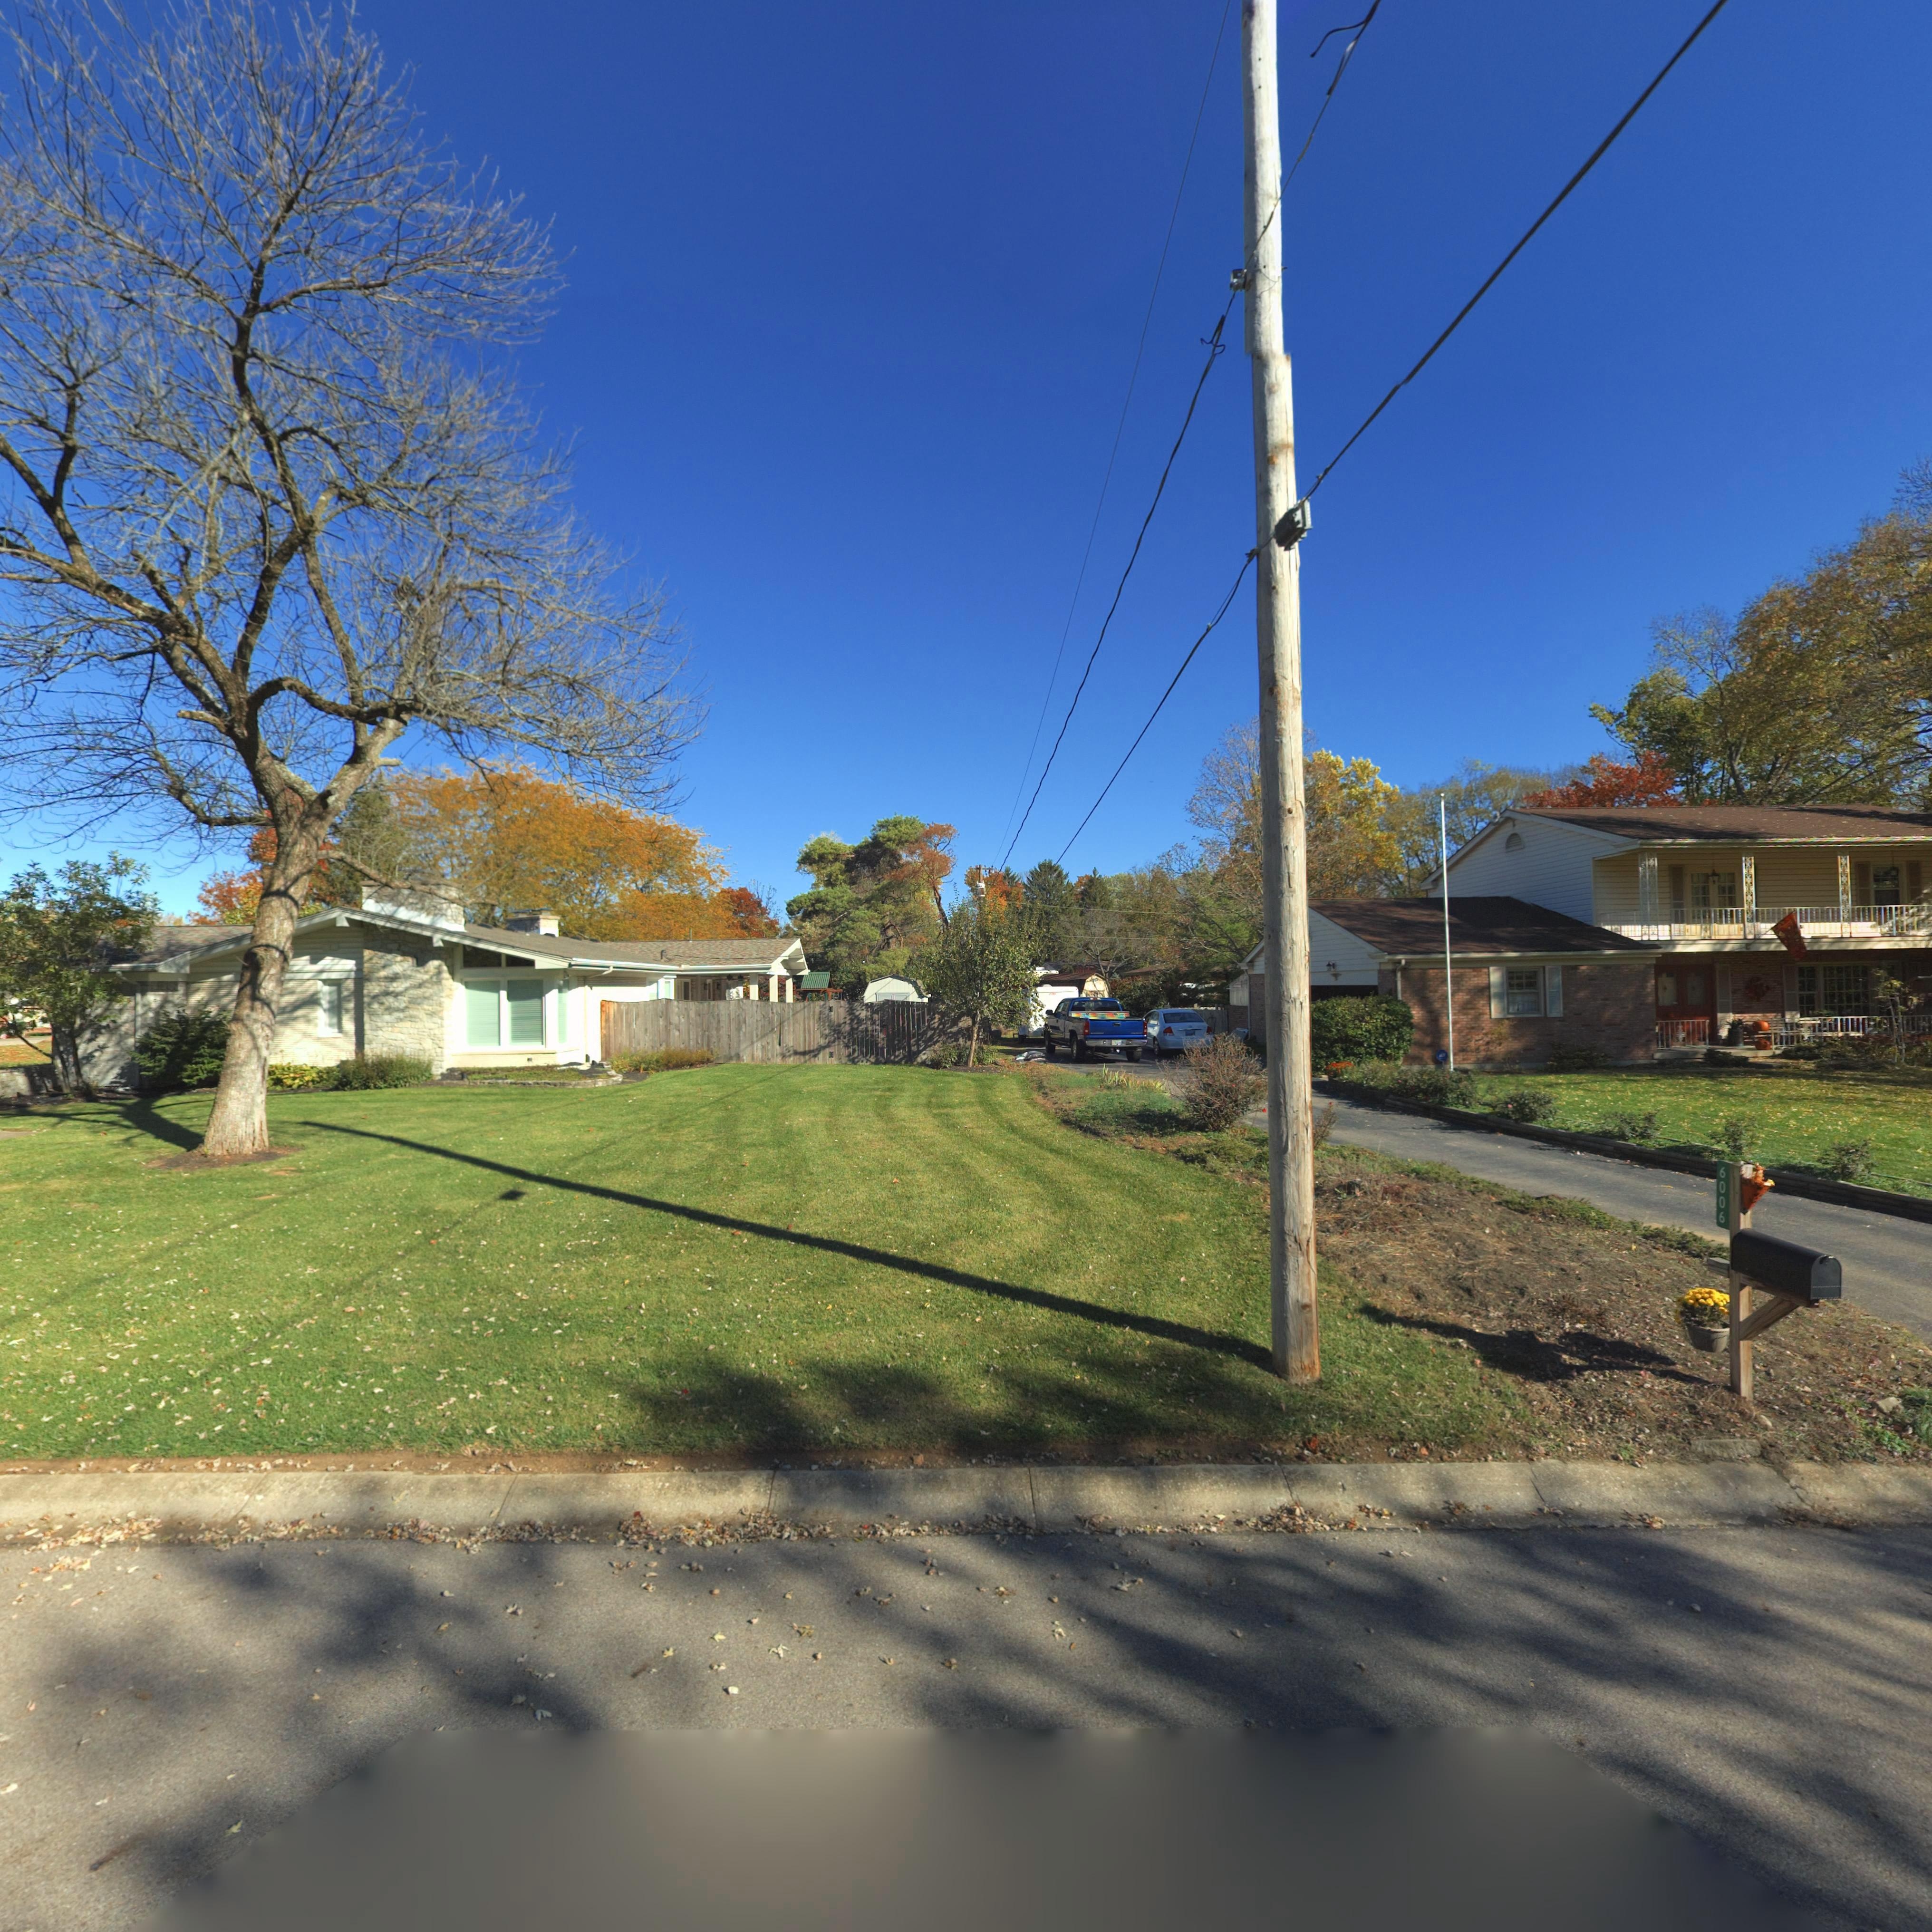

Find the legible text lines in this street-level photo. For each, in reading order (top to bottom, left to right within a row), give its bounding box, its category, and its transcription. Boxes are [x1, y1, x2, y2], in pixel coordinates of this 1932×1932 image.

[1717, 1165, 1728, 1225] StreetNumber: 6006